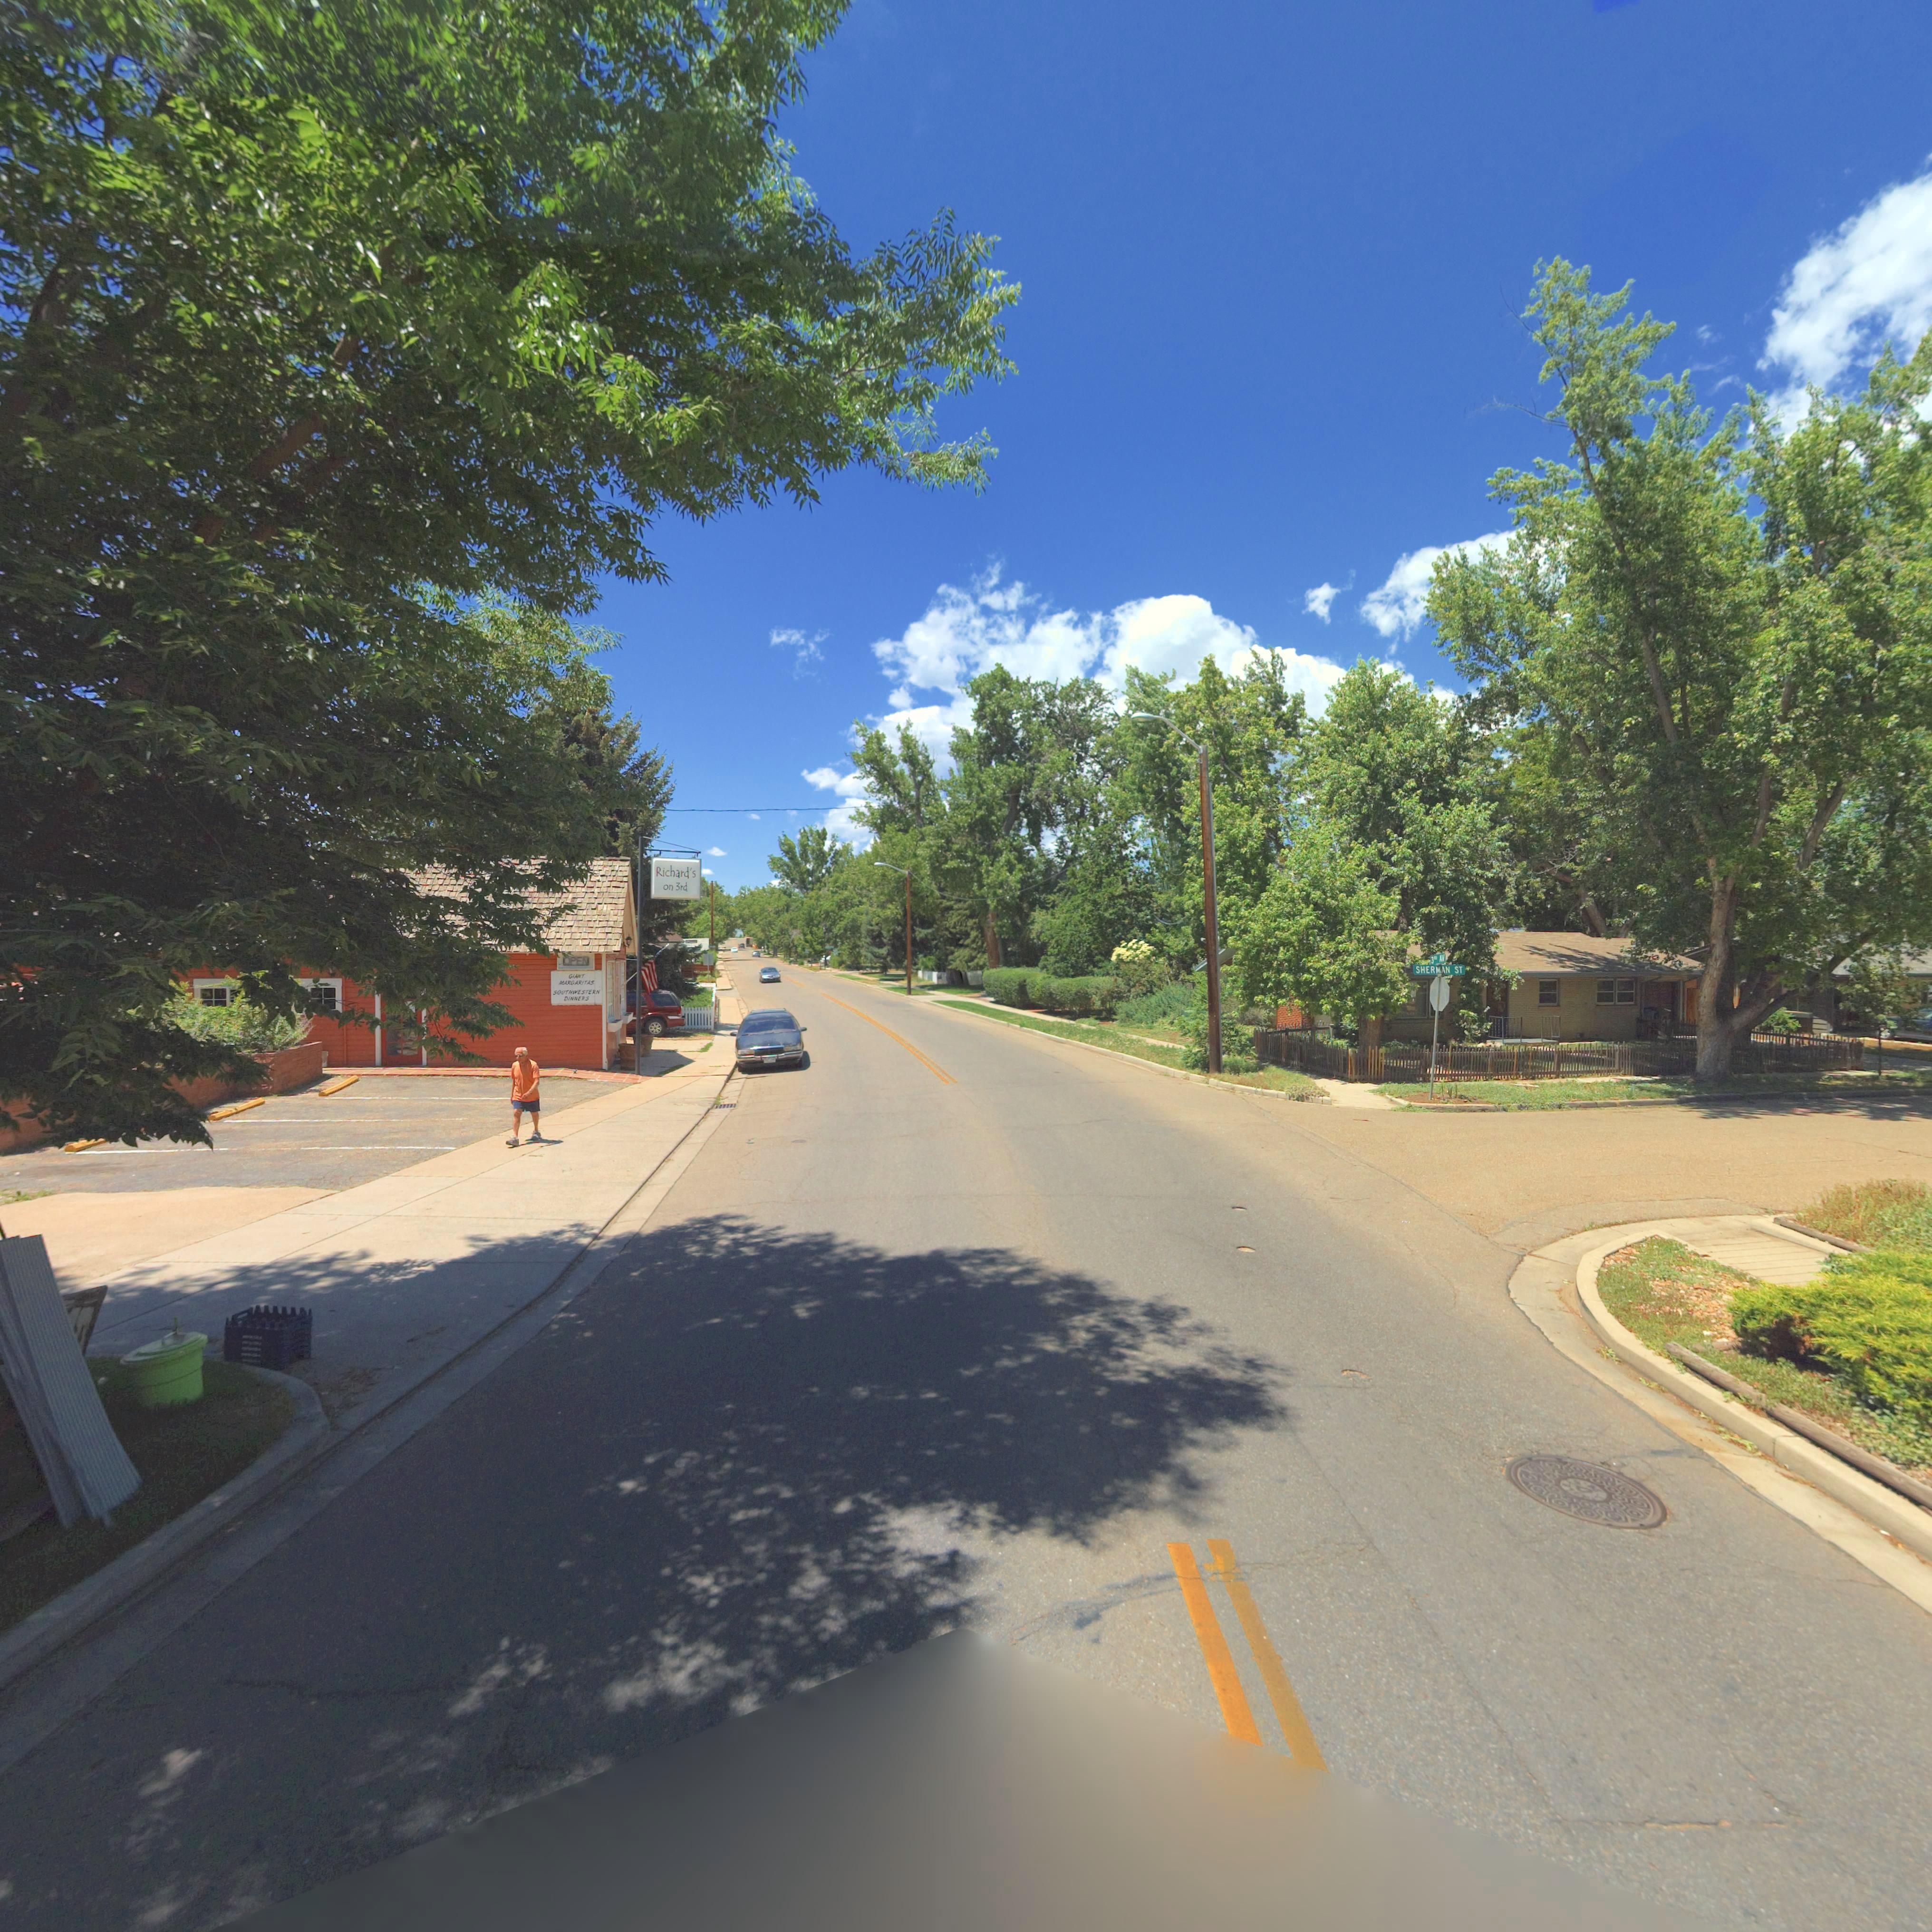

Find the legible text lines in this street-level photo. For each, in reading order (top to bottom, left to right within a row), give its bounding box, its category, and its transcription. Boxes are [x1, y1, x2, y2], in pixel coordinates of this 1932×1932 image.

[656, 864, 696, 879] BusinessName: Richard's
[1431, 954, 1445, 964] StreetName: 3RD AV
[1415, 966, 1463, 974] StreetName: SHERMAN ST